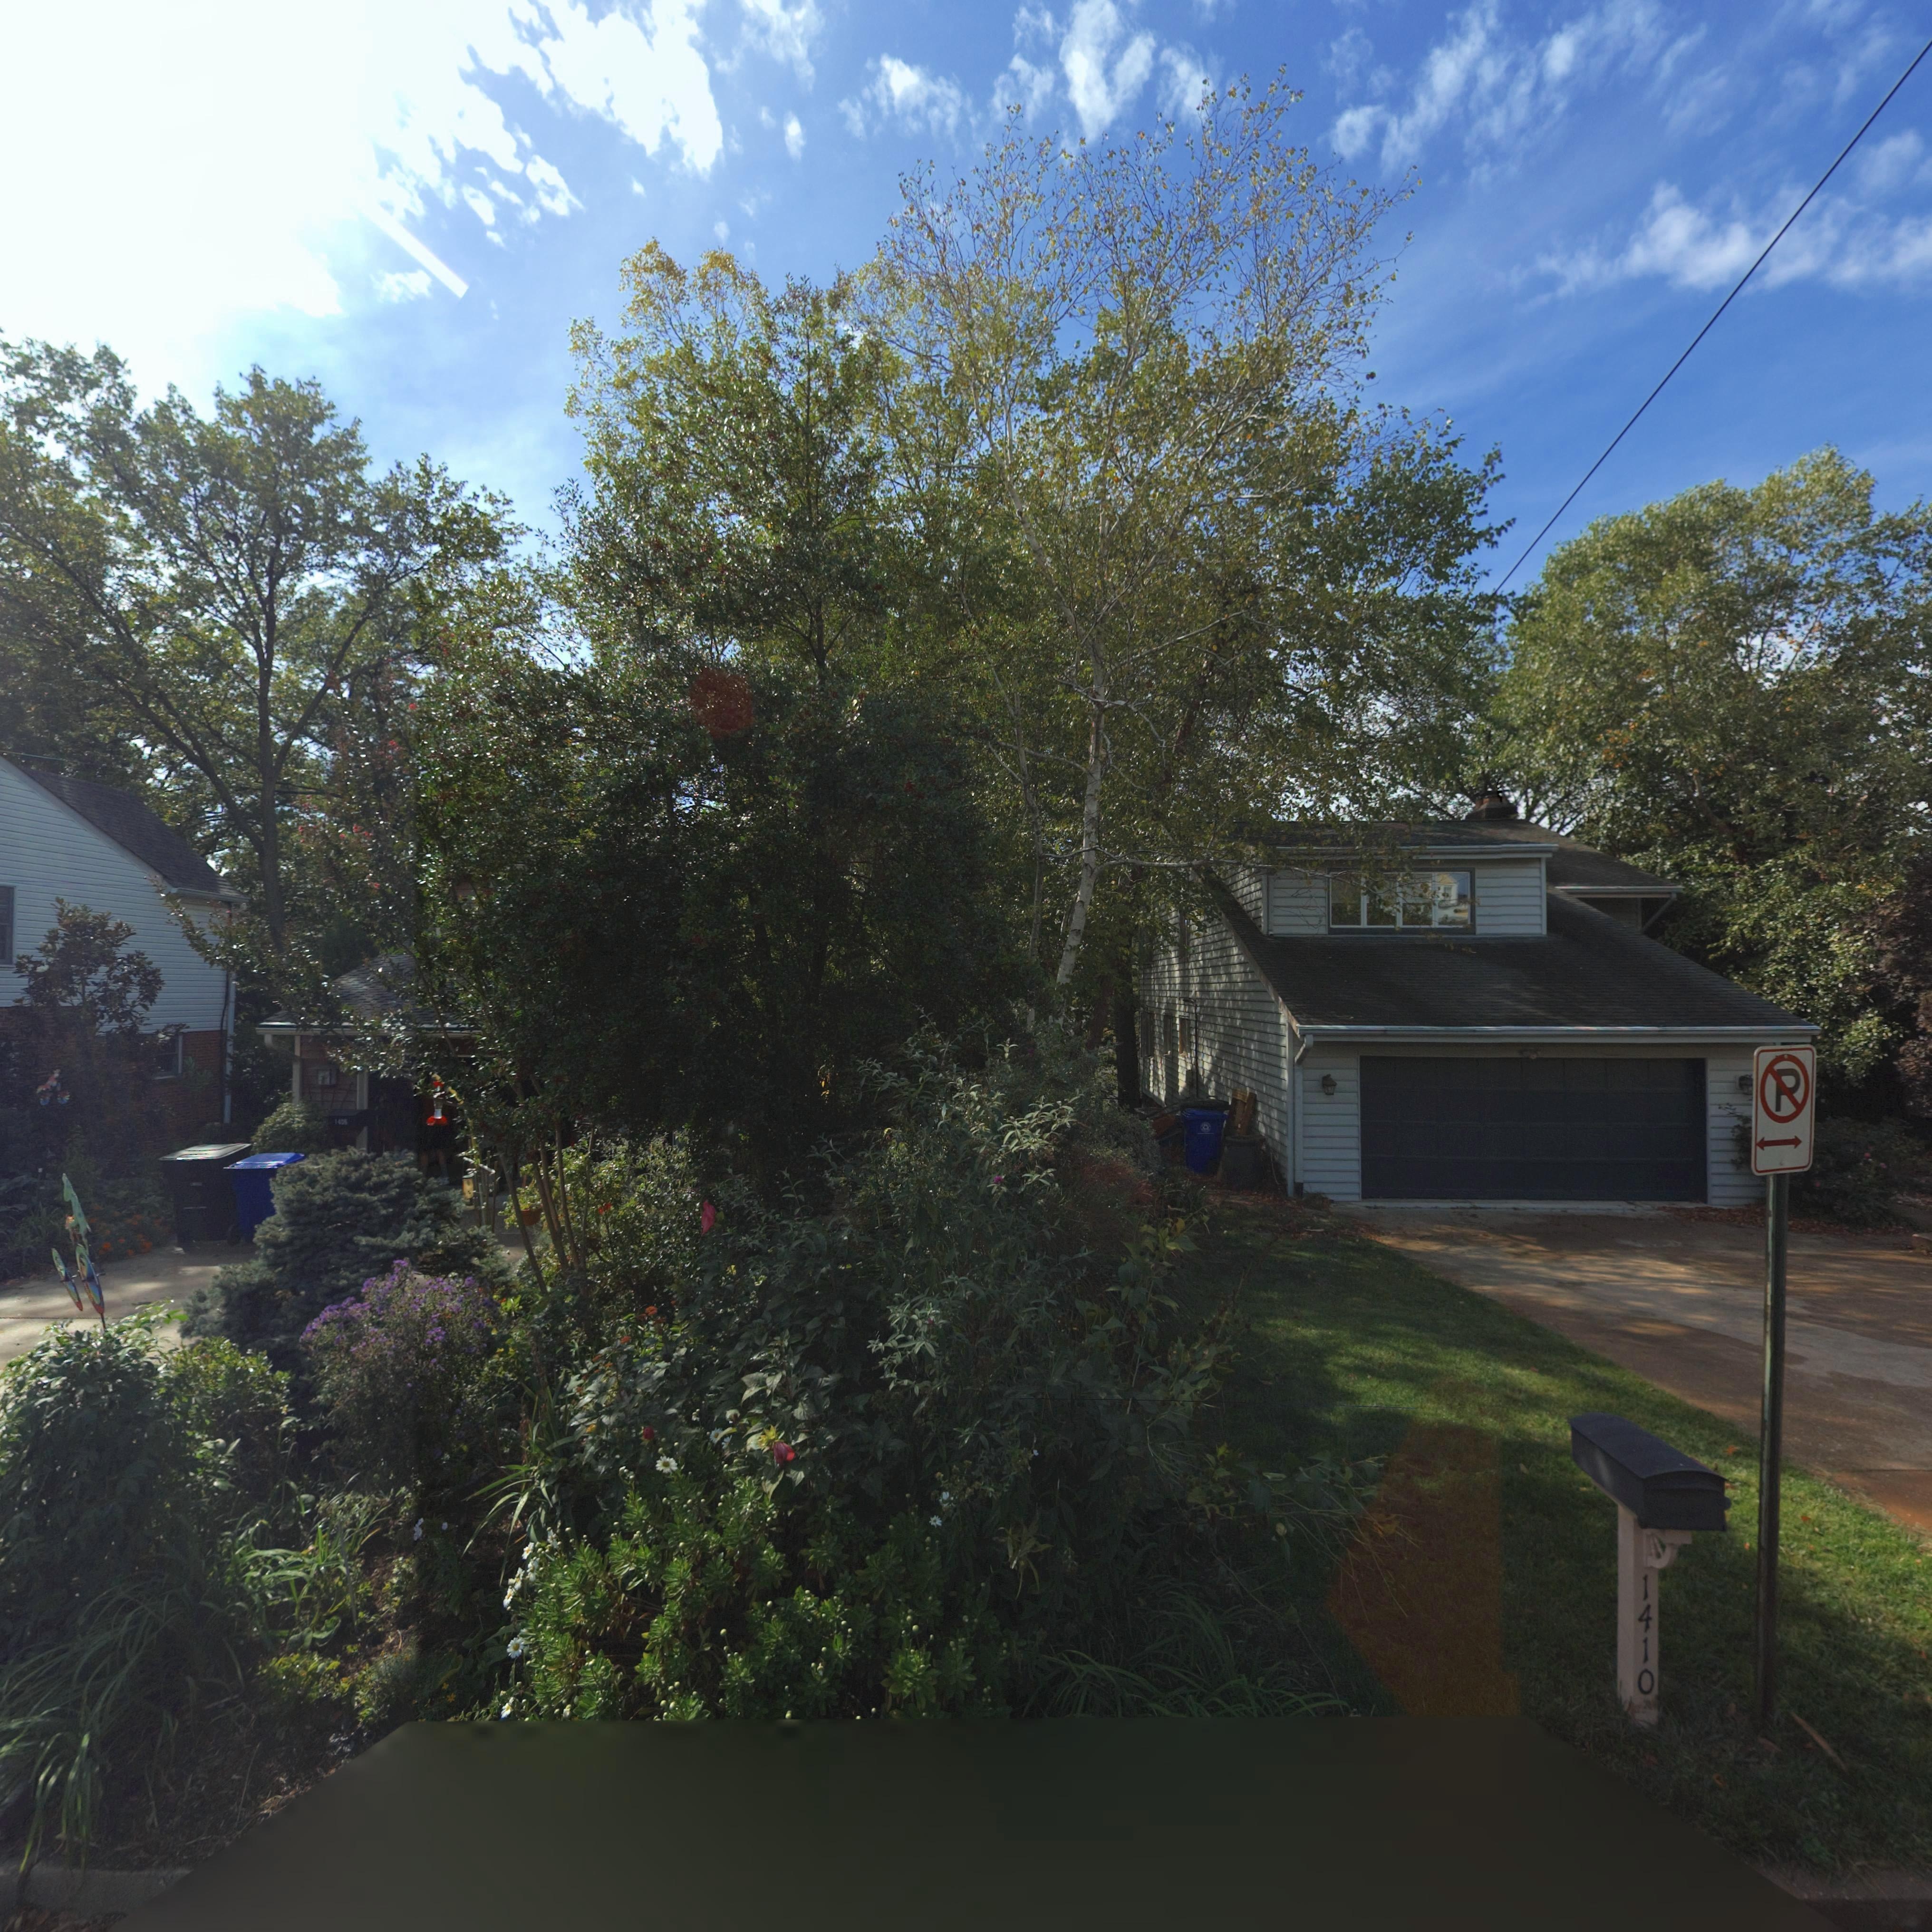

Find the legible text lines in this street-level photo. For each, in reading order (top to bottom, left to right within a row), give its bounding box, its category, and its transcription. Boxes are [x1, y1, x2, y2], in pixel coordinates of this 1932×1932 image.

[334, 1118, 349, 1127] StreetNumber: 14**
[1636, 1571, 1656, 1698] StreetNumber: 1410